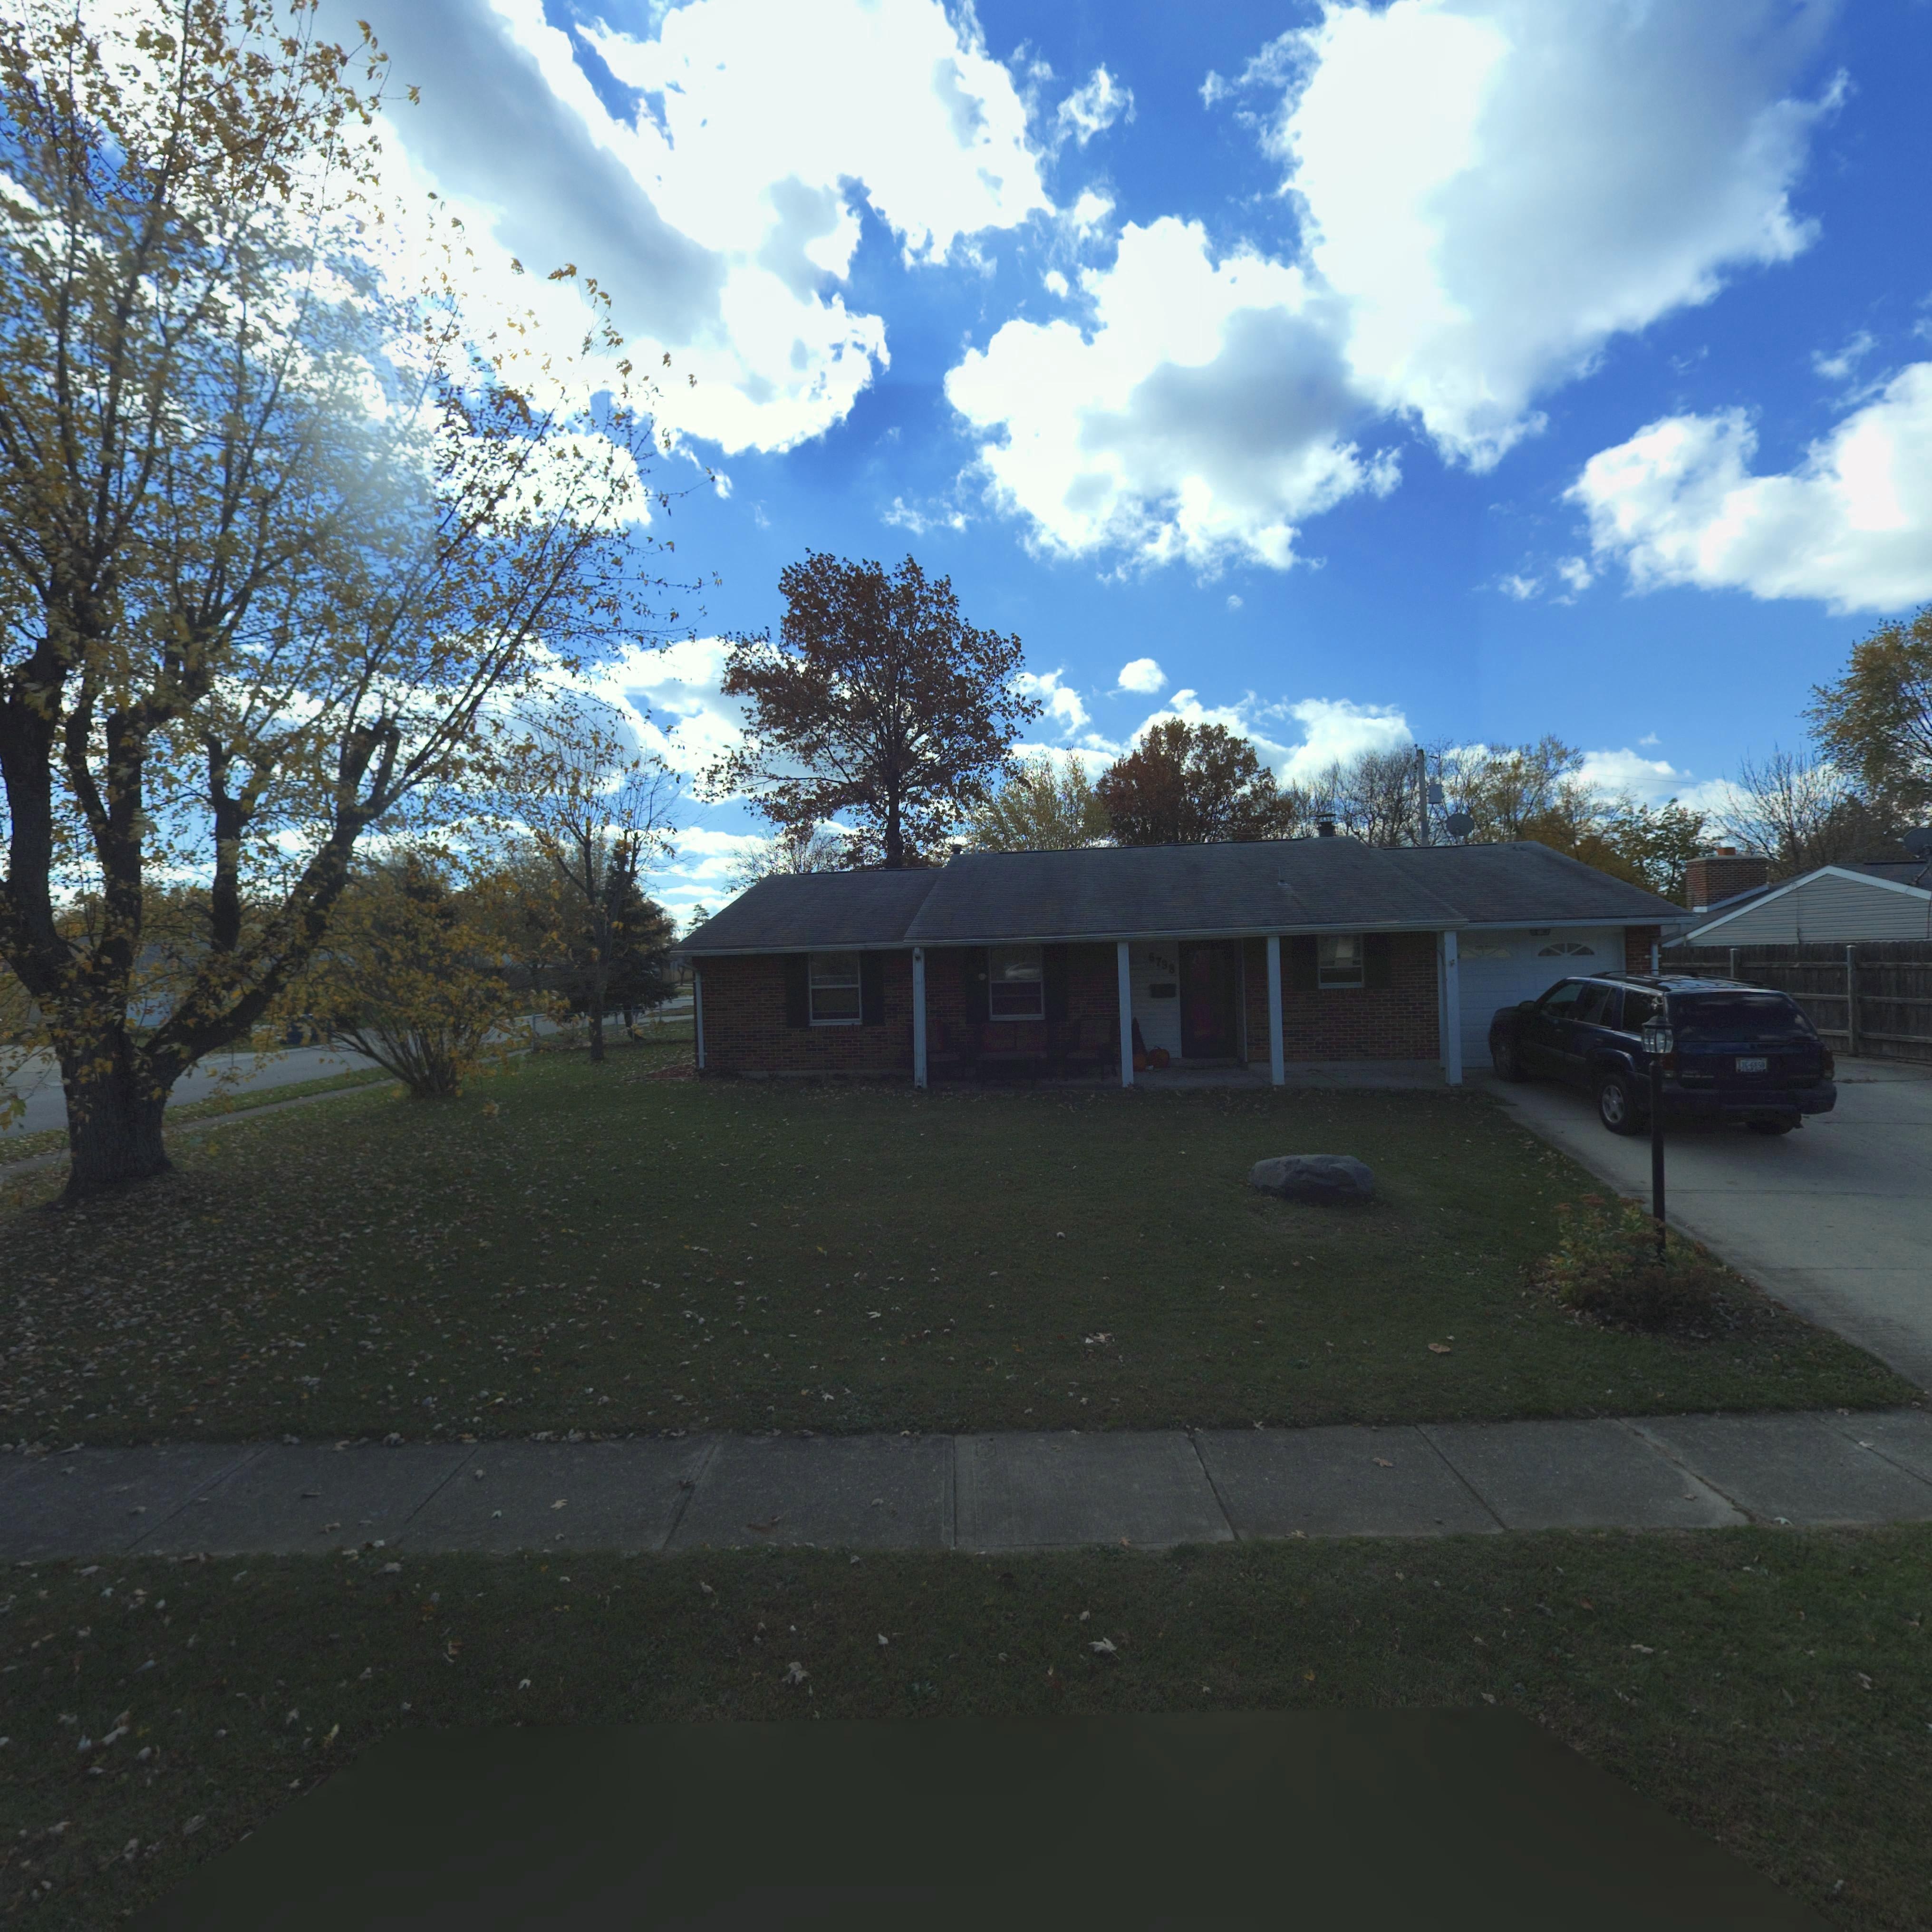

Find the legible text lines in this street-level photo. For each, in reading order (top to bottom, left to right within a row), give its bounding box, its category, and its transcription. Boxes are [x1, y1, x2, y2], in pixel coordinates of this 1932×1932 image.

[1148, 951, 1175, 975] StreetNumber: 6798